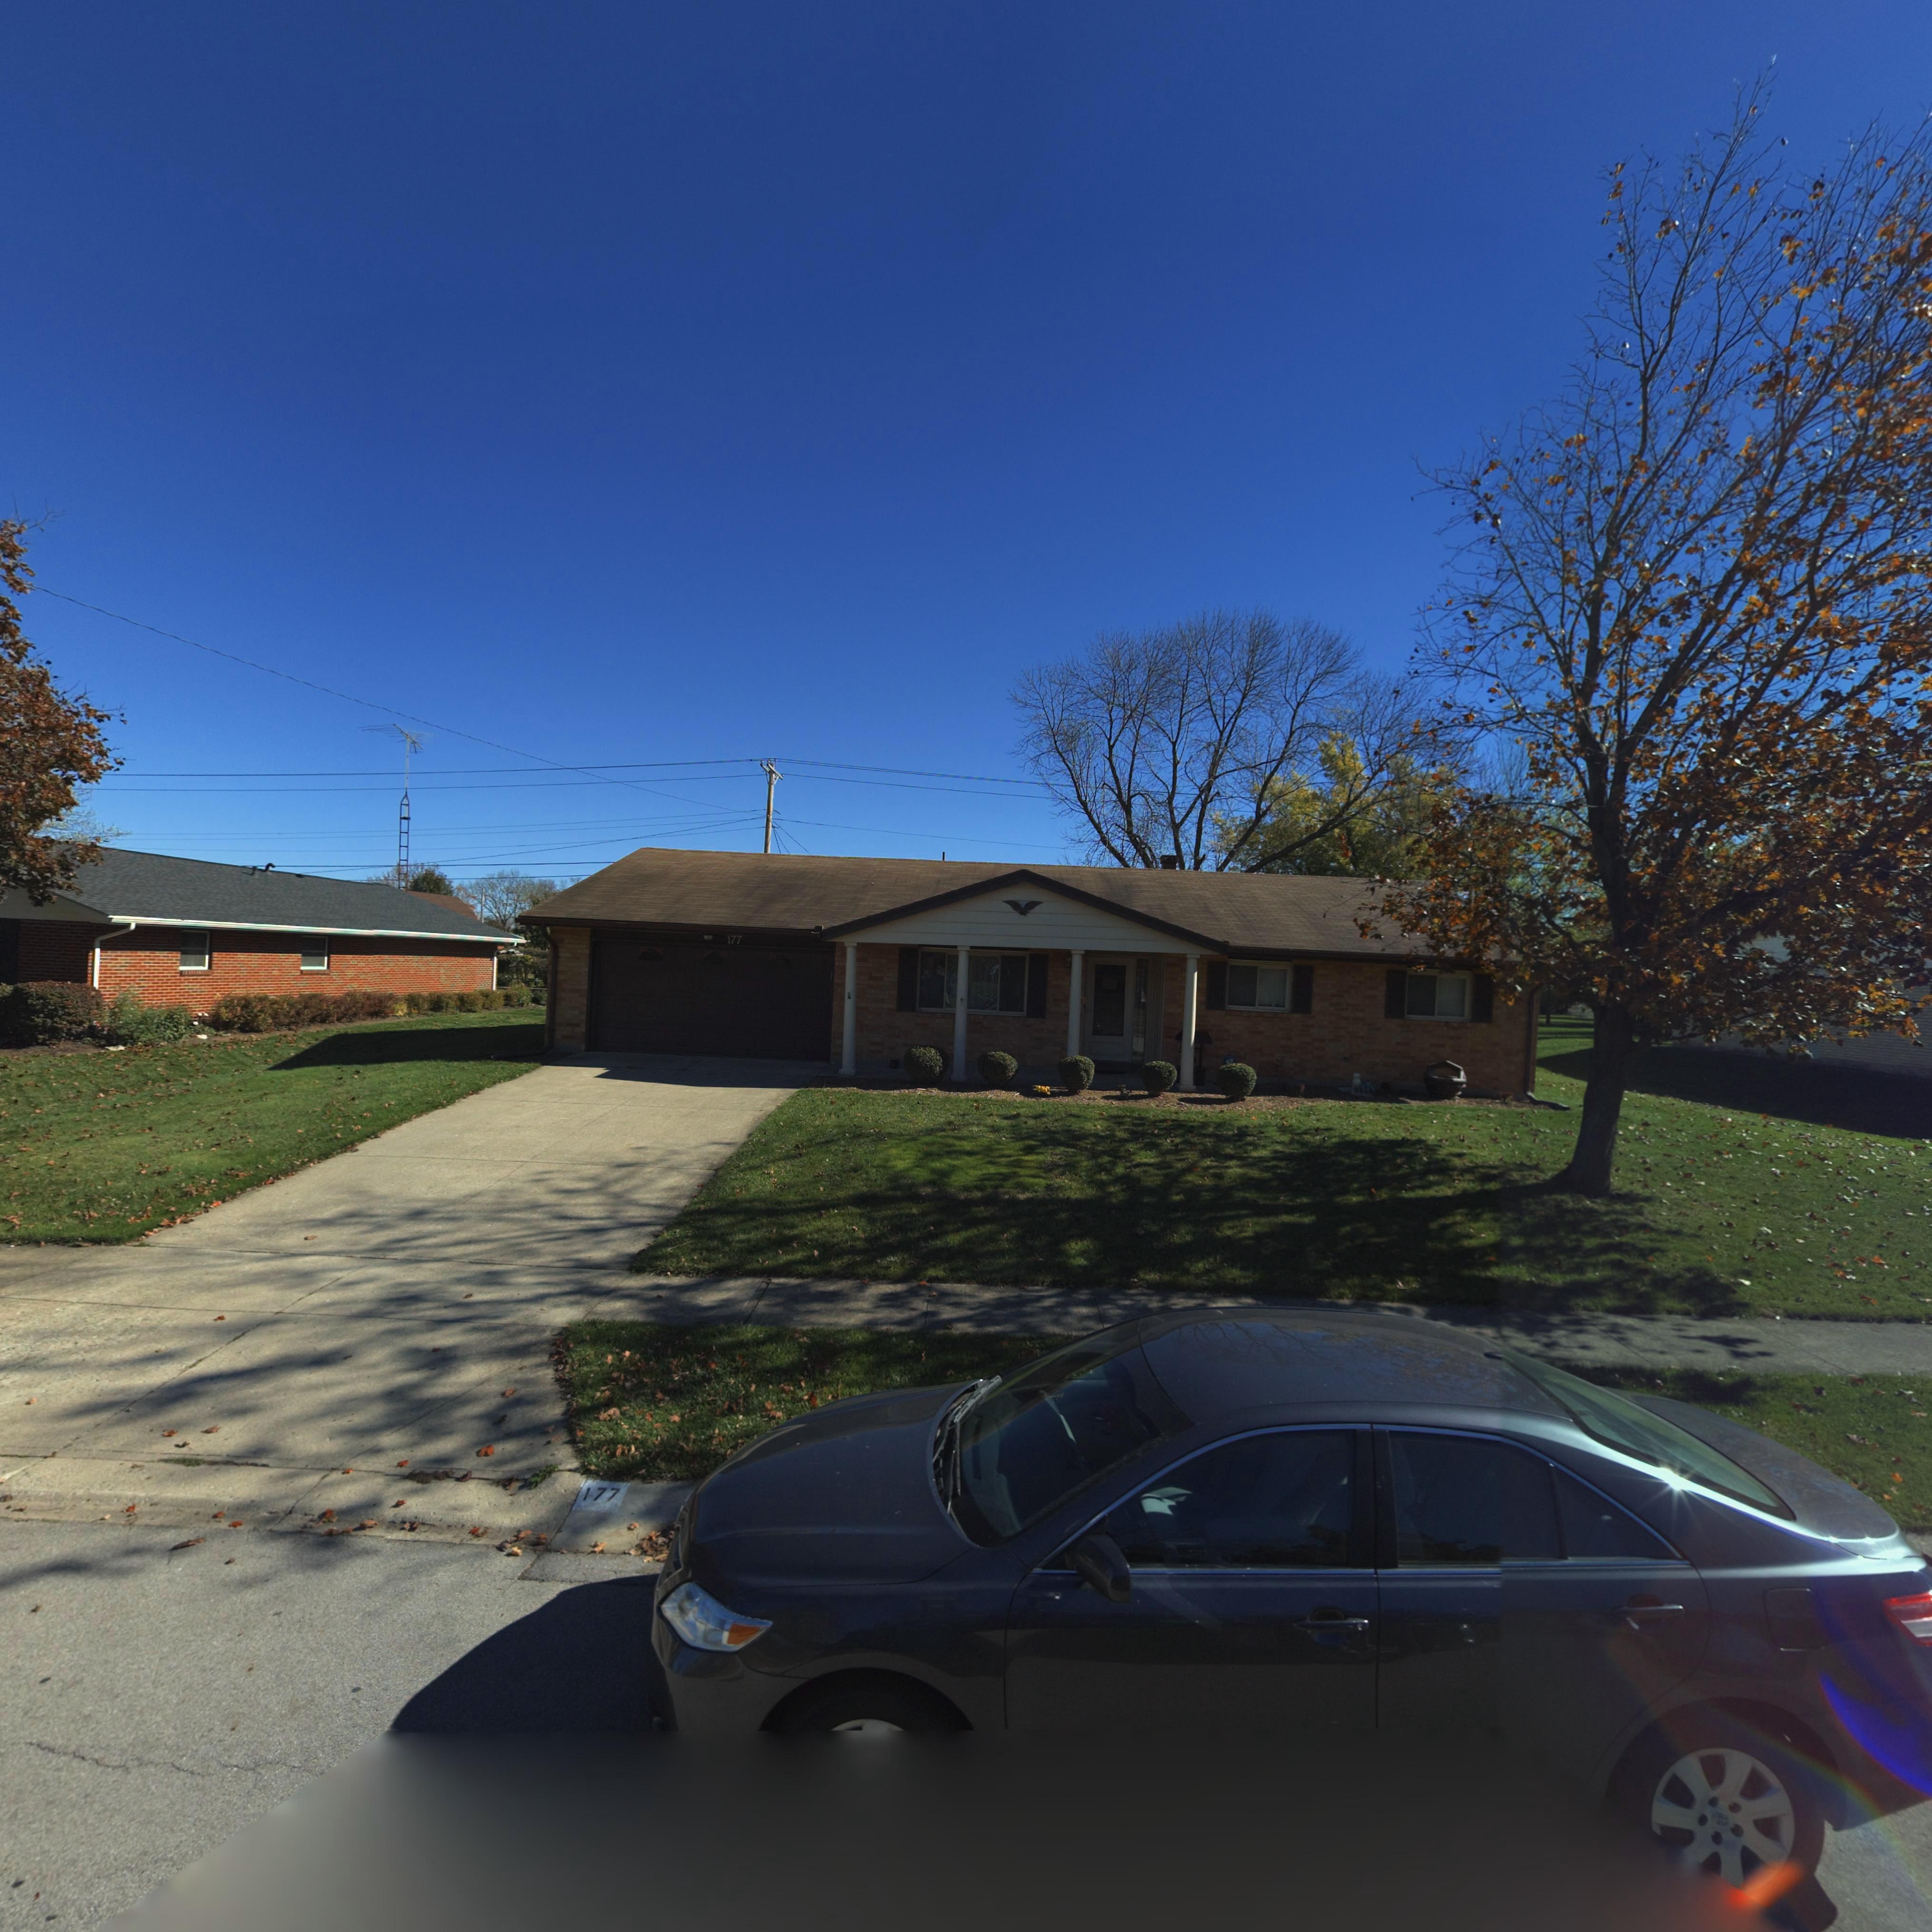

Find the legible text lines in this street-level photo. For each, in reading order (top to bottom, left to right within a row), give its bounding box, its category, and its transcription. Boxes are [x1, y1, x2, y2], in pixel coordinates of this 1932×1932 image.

[726, 934, 744, 945] StreetNumber: 177
[581, 1486, 623, 1503] StreetNumber: 177